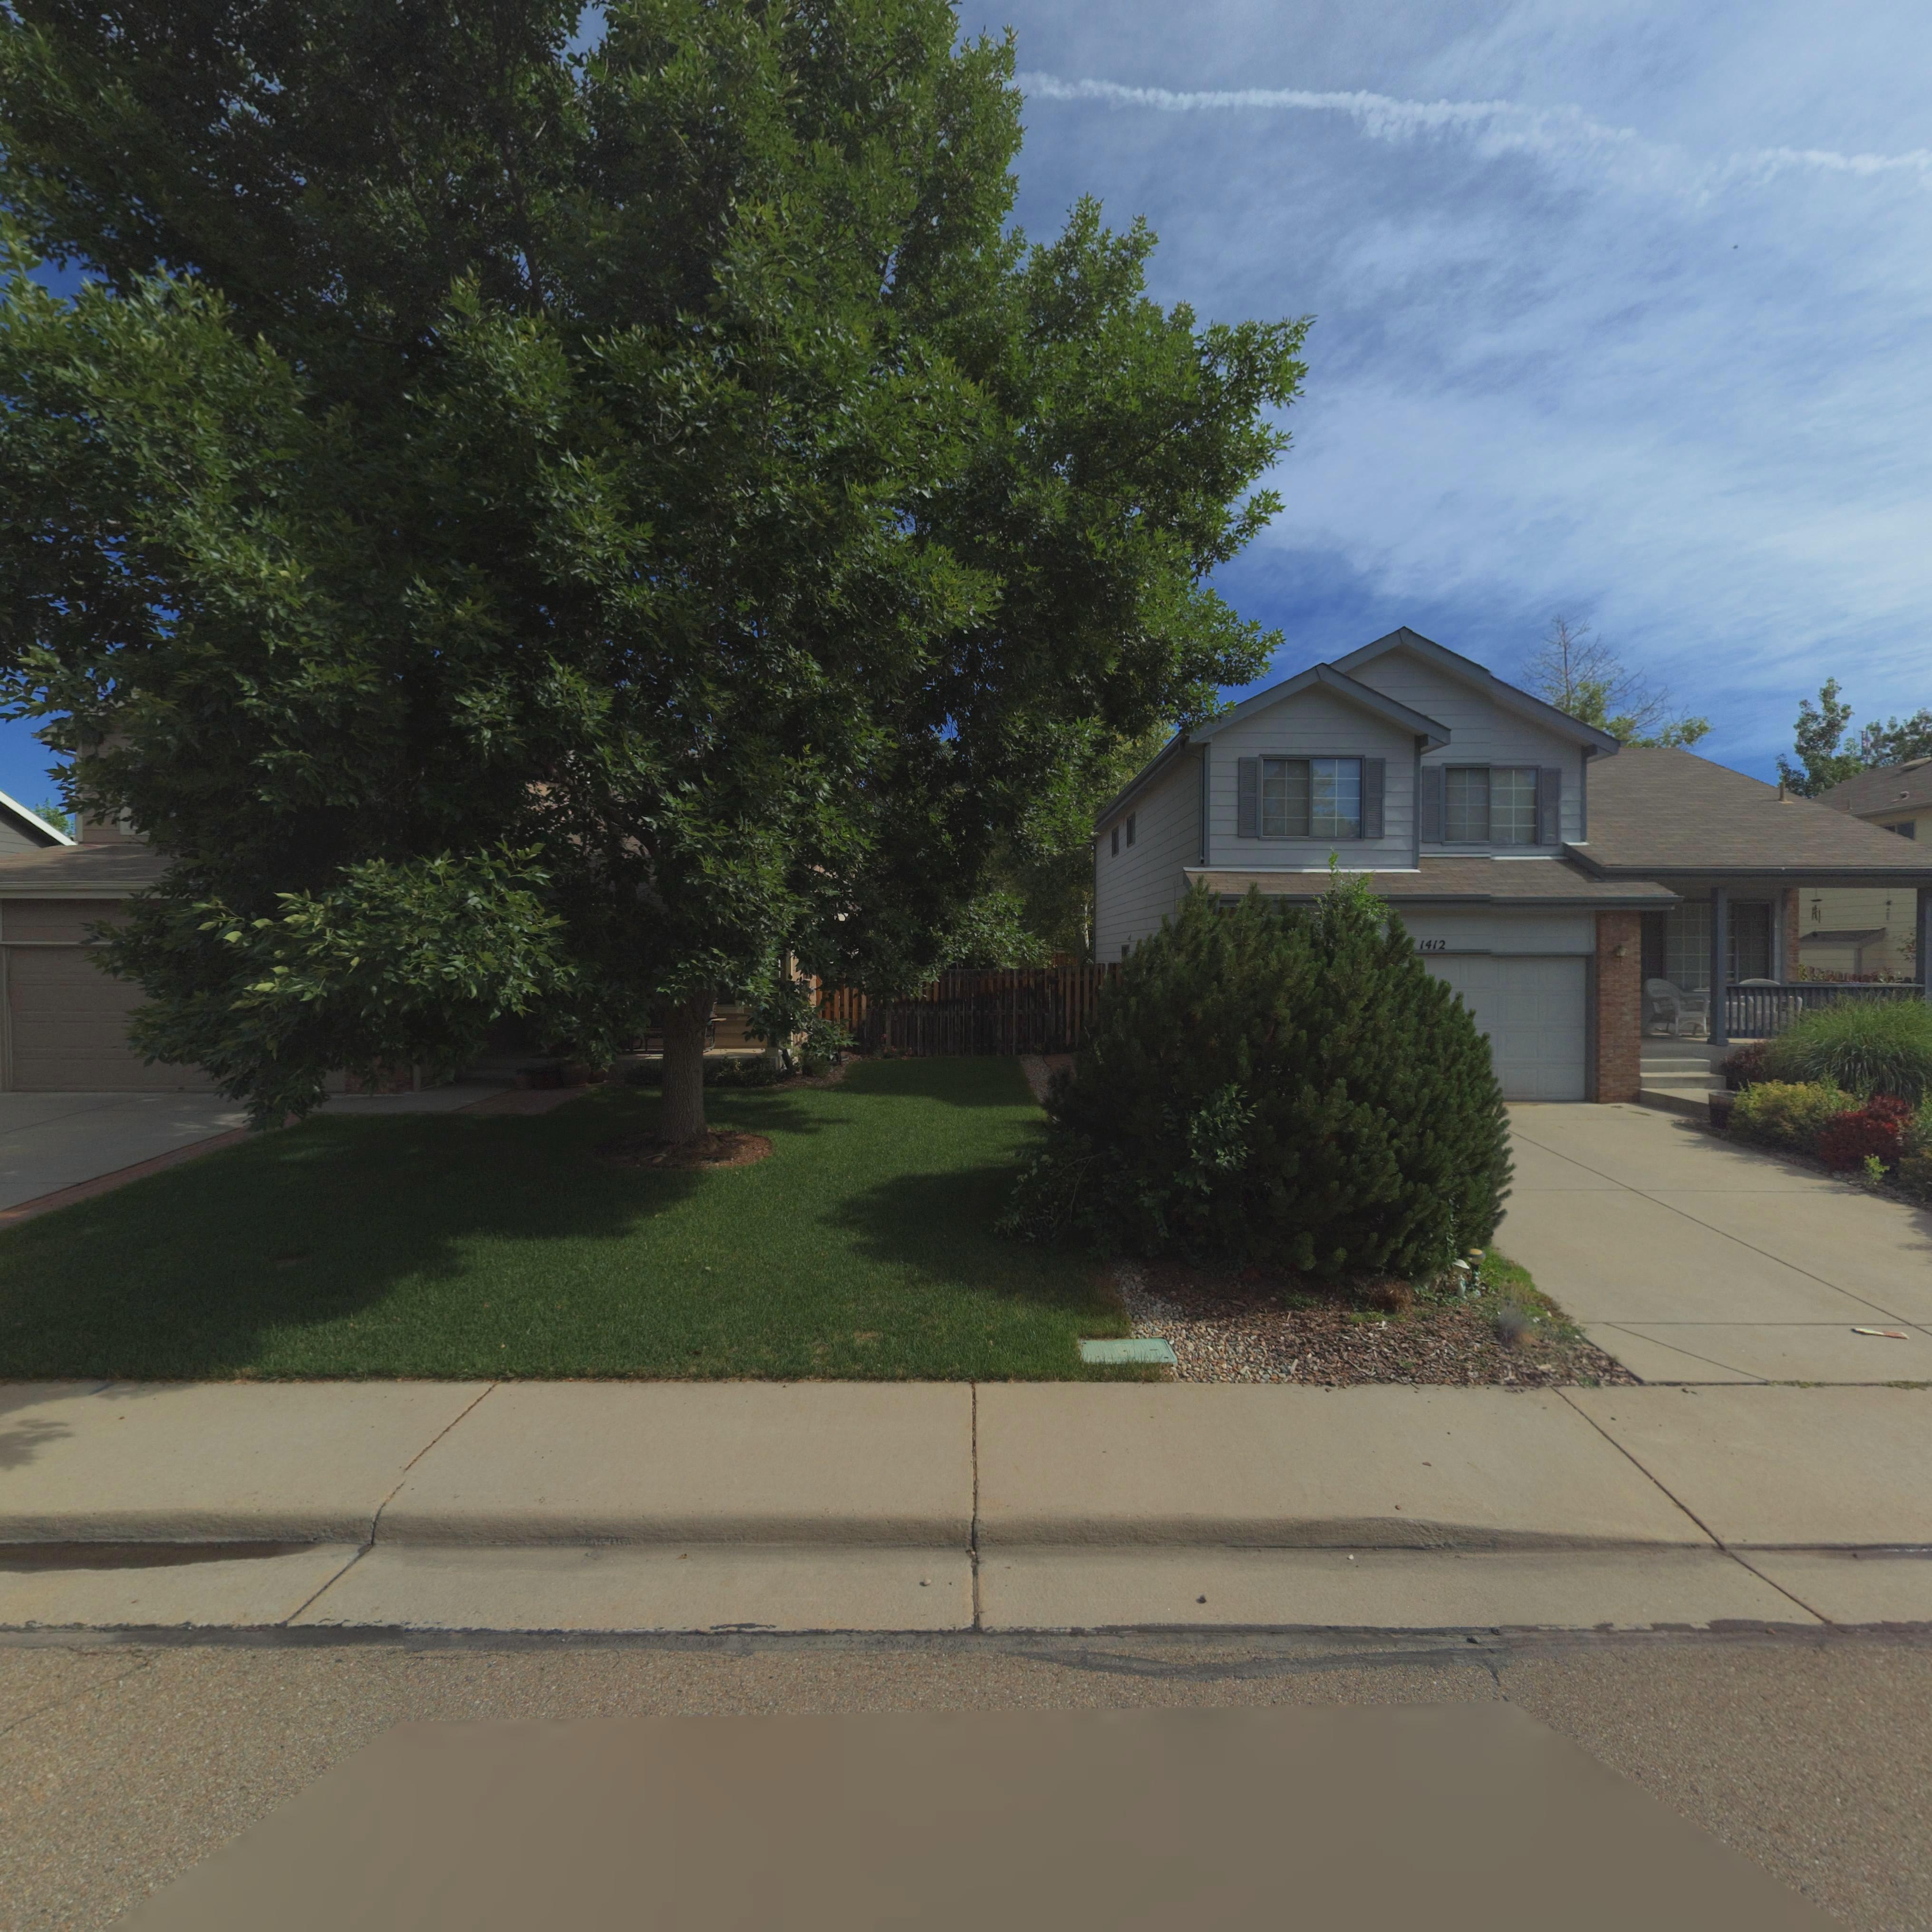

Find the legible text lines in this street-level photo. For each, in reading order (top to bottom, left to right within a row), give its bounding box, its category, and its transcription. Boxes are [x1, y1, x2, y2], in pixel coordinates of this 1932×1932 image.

[1419, 939, 1446, 949] StreetNumber: 1412